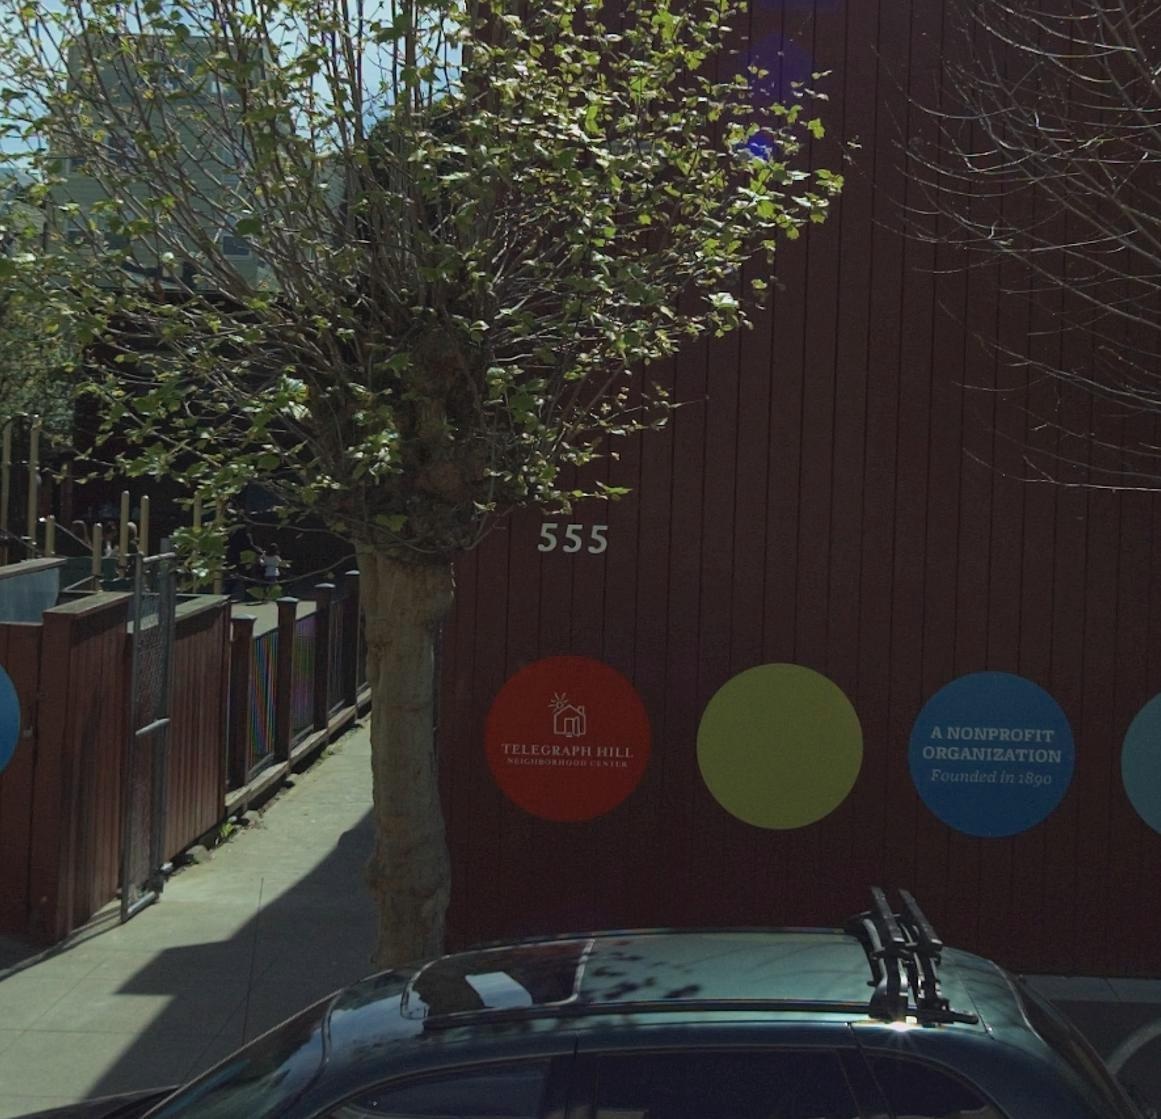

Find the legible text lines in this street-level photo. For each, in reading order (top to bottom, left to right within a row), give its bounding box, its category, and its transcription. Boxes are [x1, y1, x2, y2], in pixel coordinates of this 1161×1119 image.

[534, 517, 613, 558] StreetNumber: 555
[926, 723, 1059, 744] BusinessName: A NONPROFIT
[504, 756, 628, 769] BusinessName: NEIGHBORHOOD CENTER
[499, 741, 636, 759] BusinessName: TELEGRAPH HILL
[919, 744, 1066, 768] BusinessName: ORGANIZATION
[928, 767, 1059, 791] BusinessName: Founded in 1890